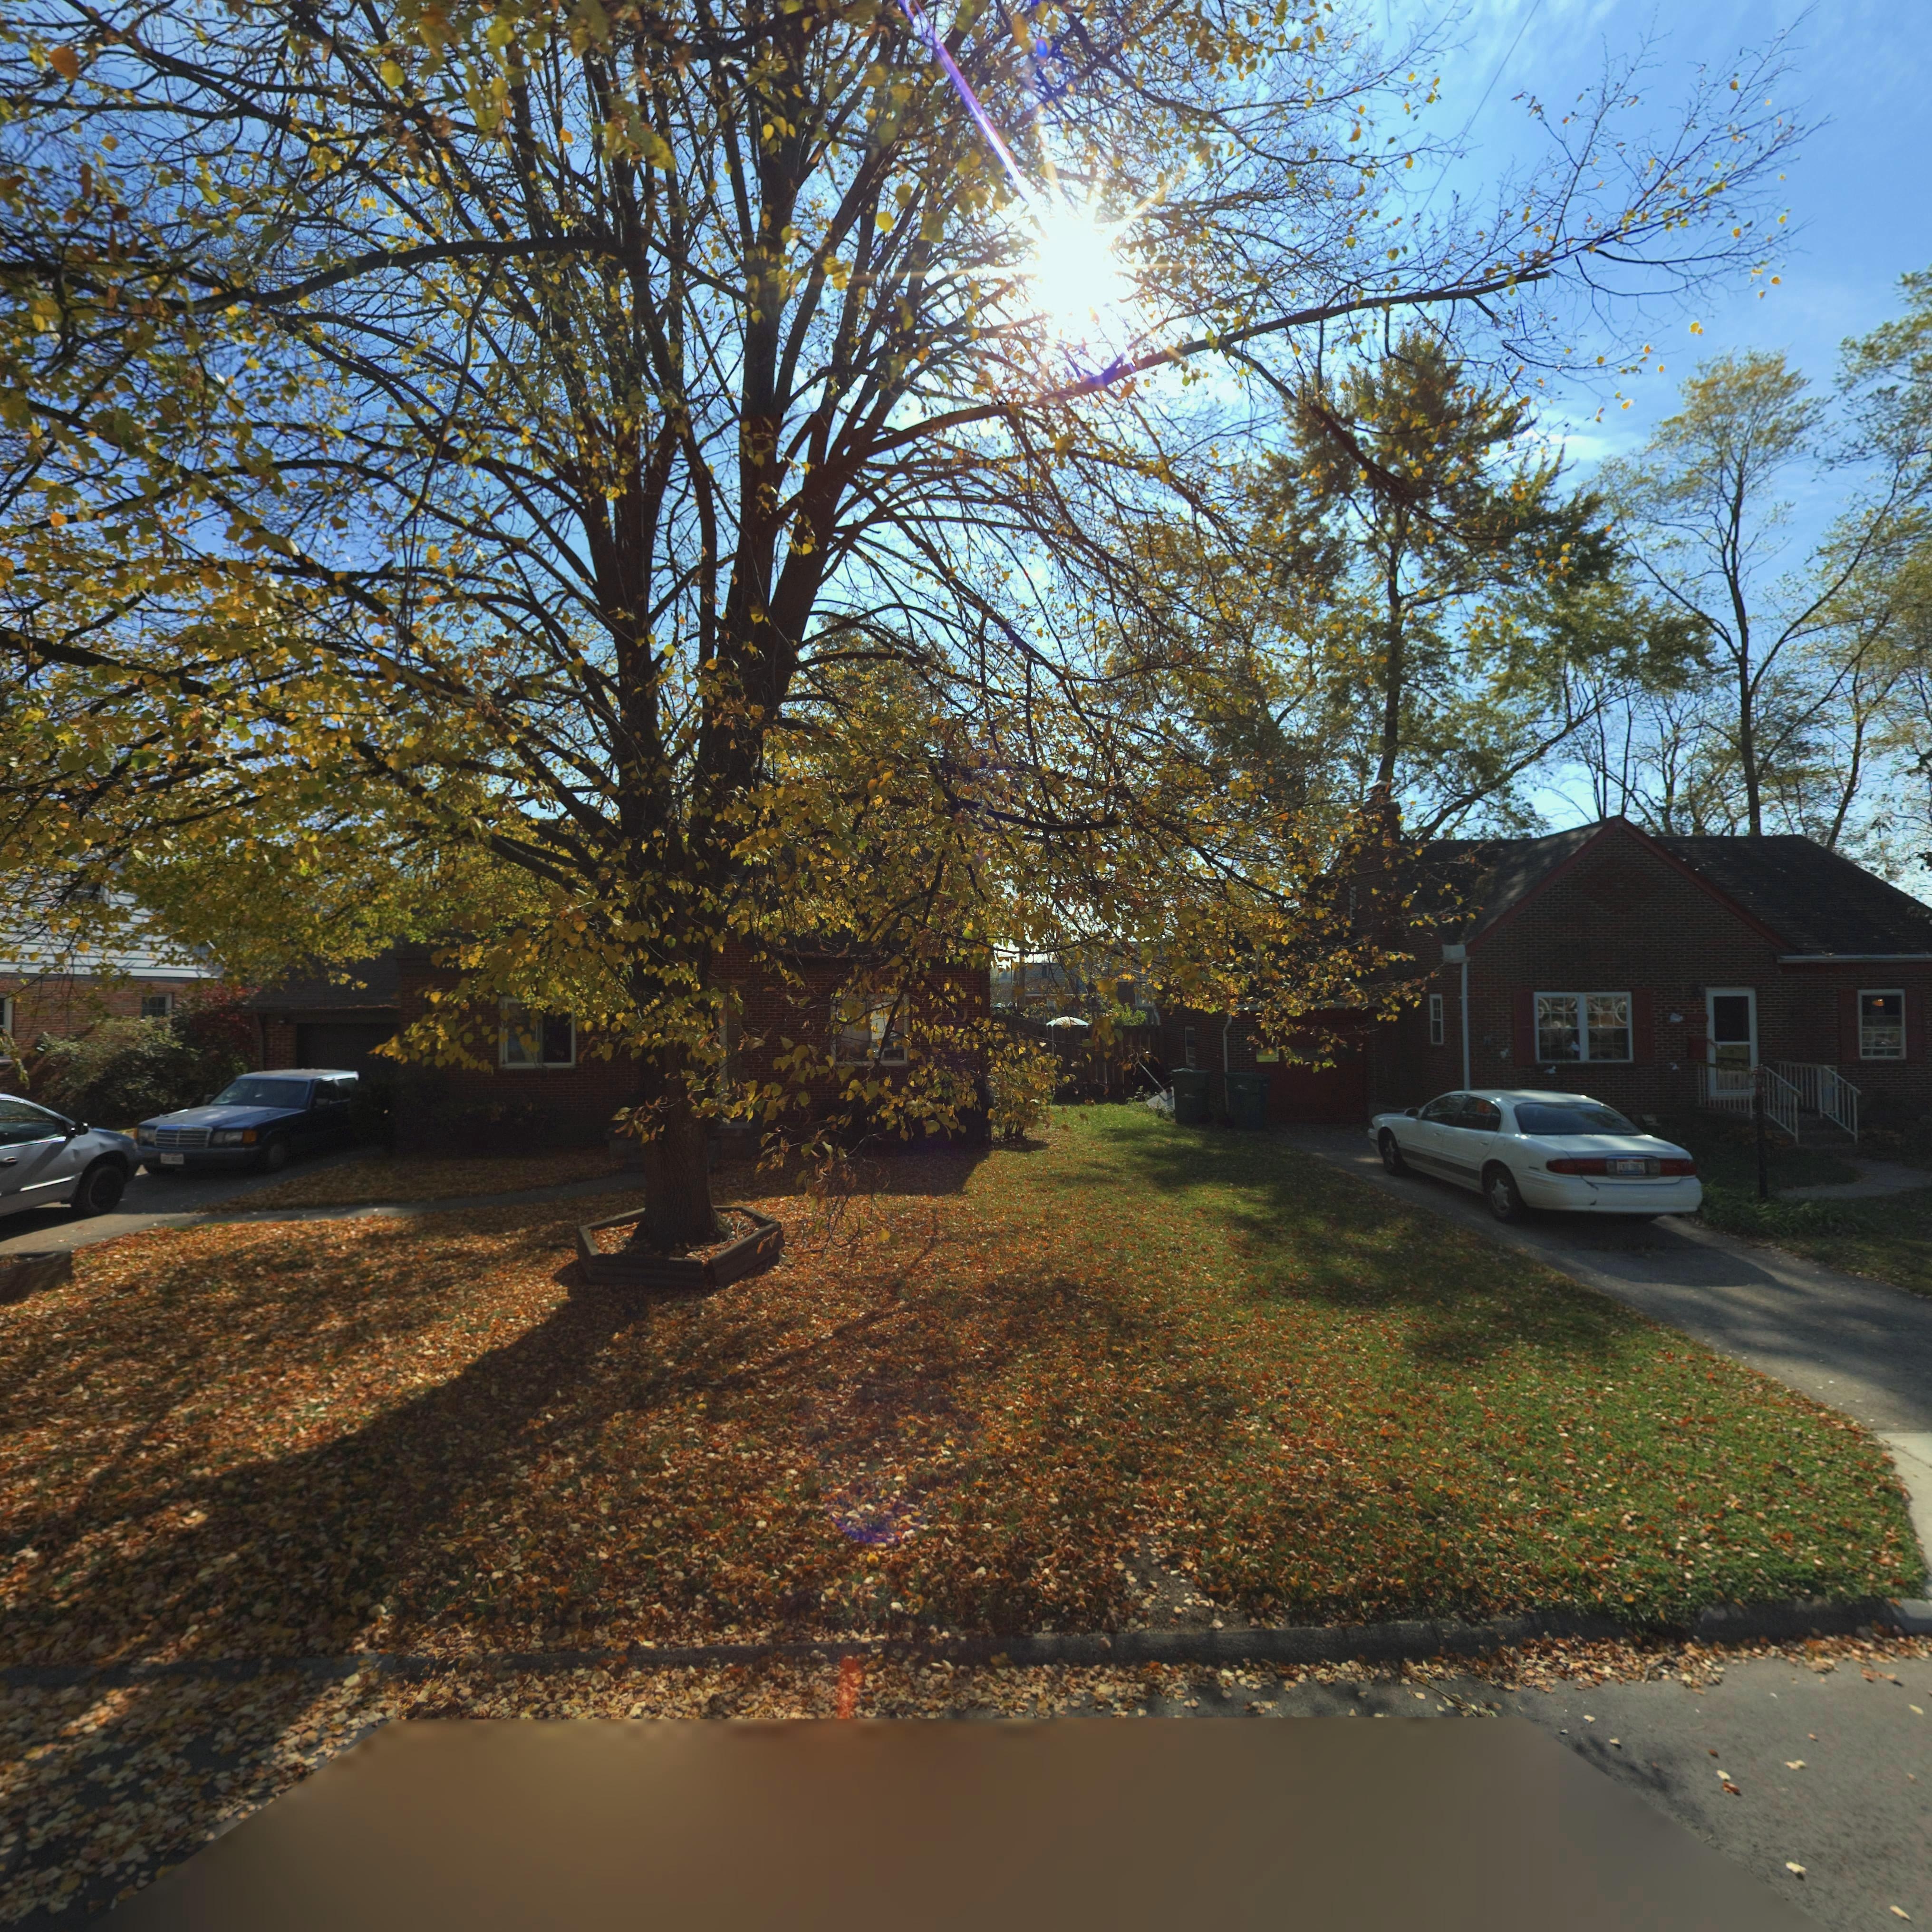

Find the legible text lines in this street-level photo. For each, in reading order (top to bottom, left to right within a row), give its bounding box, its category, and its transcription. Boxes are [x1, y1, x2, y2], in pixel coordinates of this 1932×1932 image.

[1618, 1162, 1642, 1170] None: E*U*7863